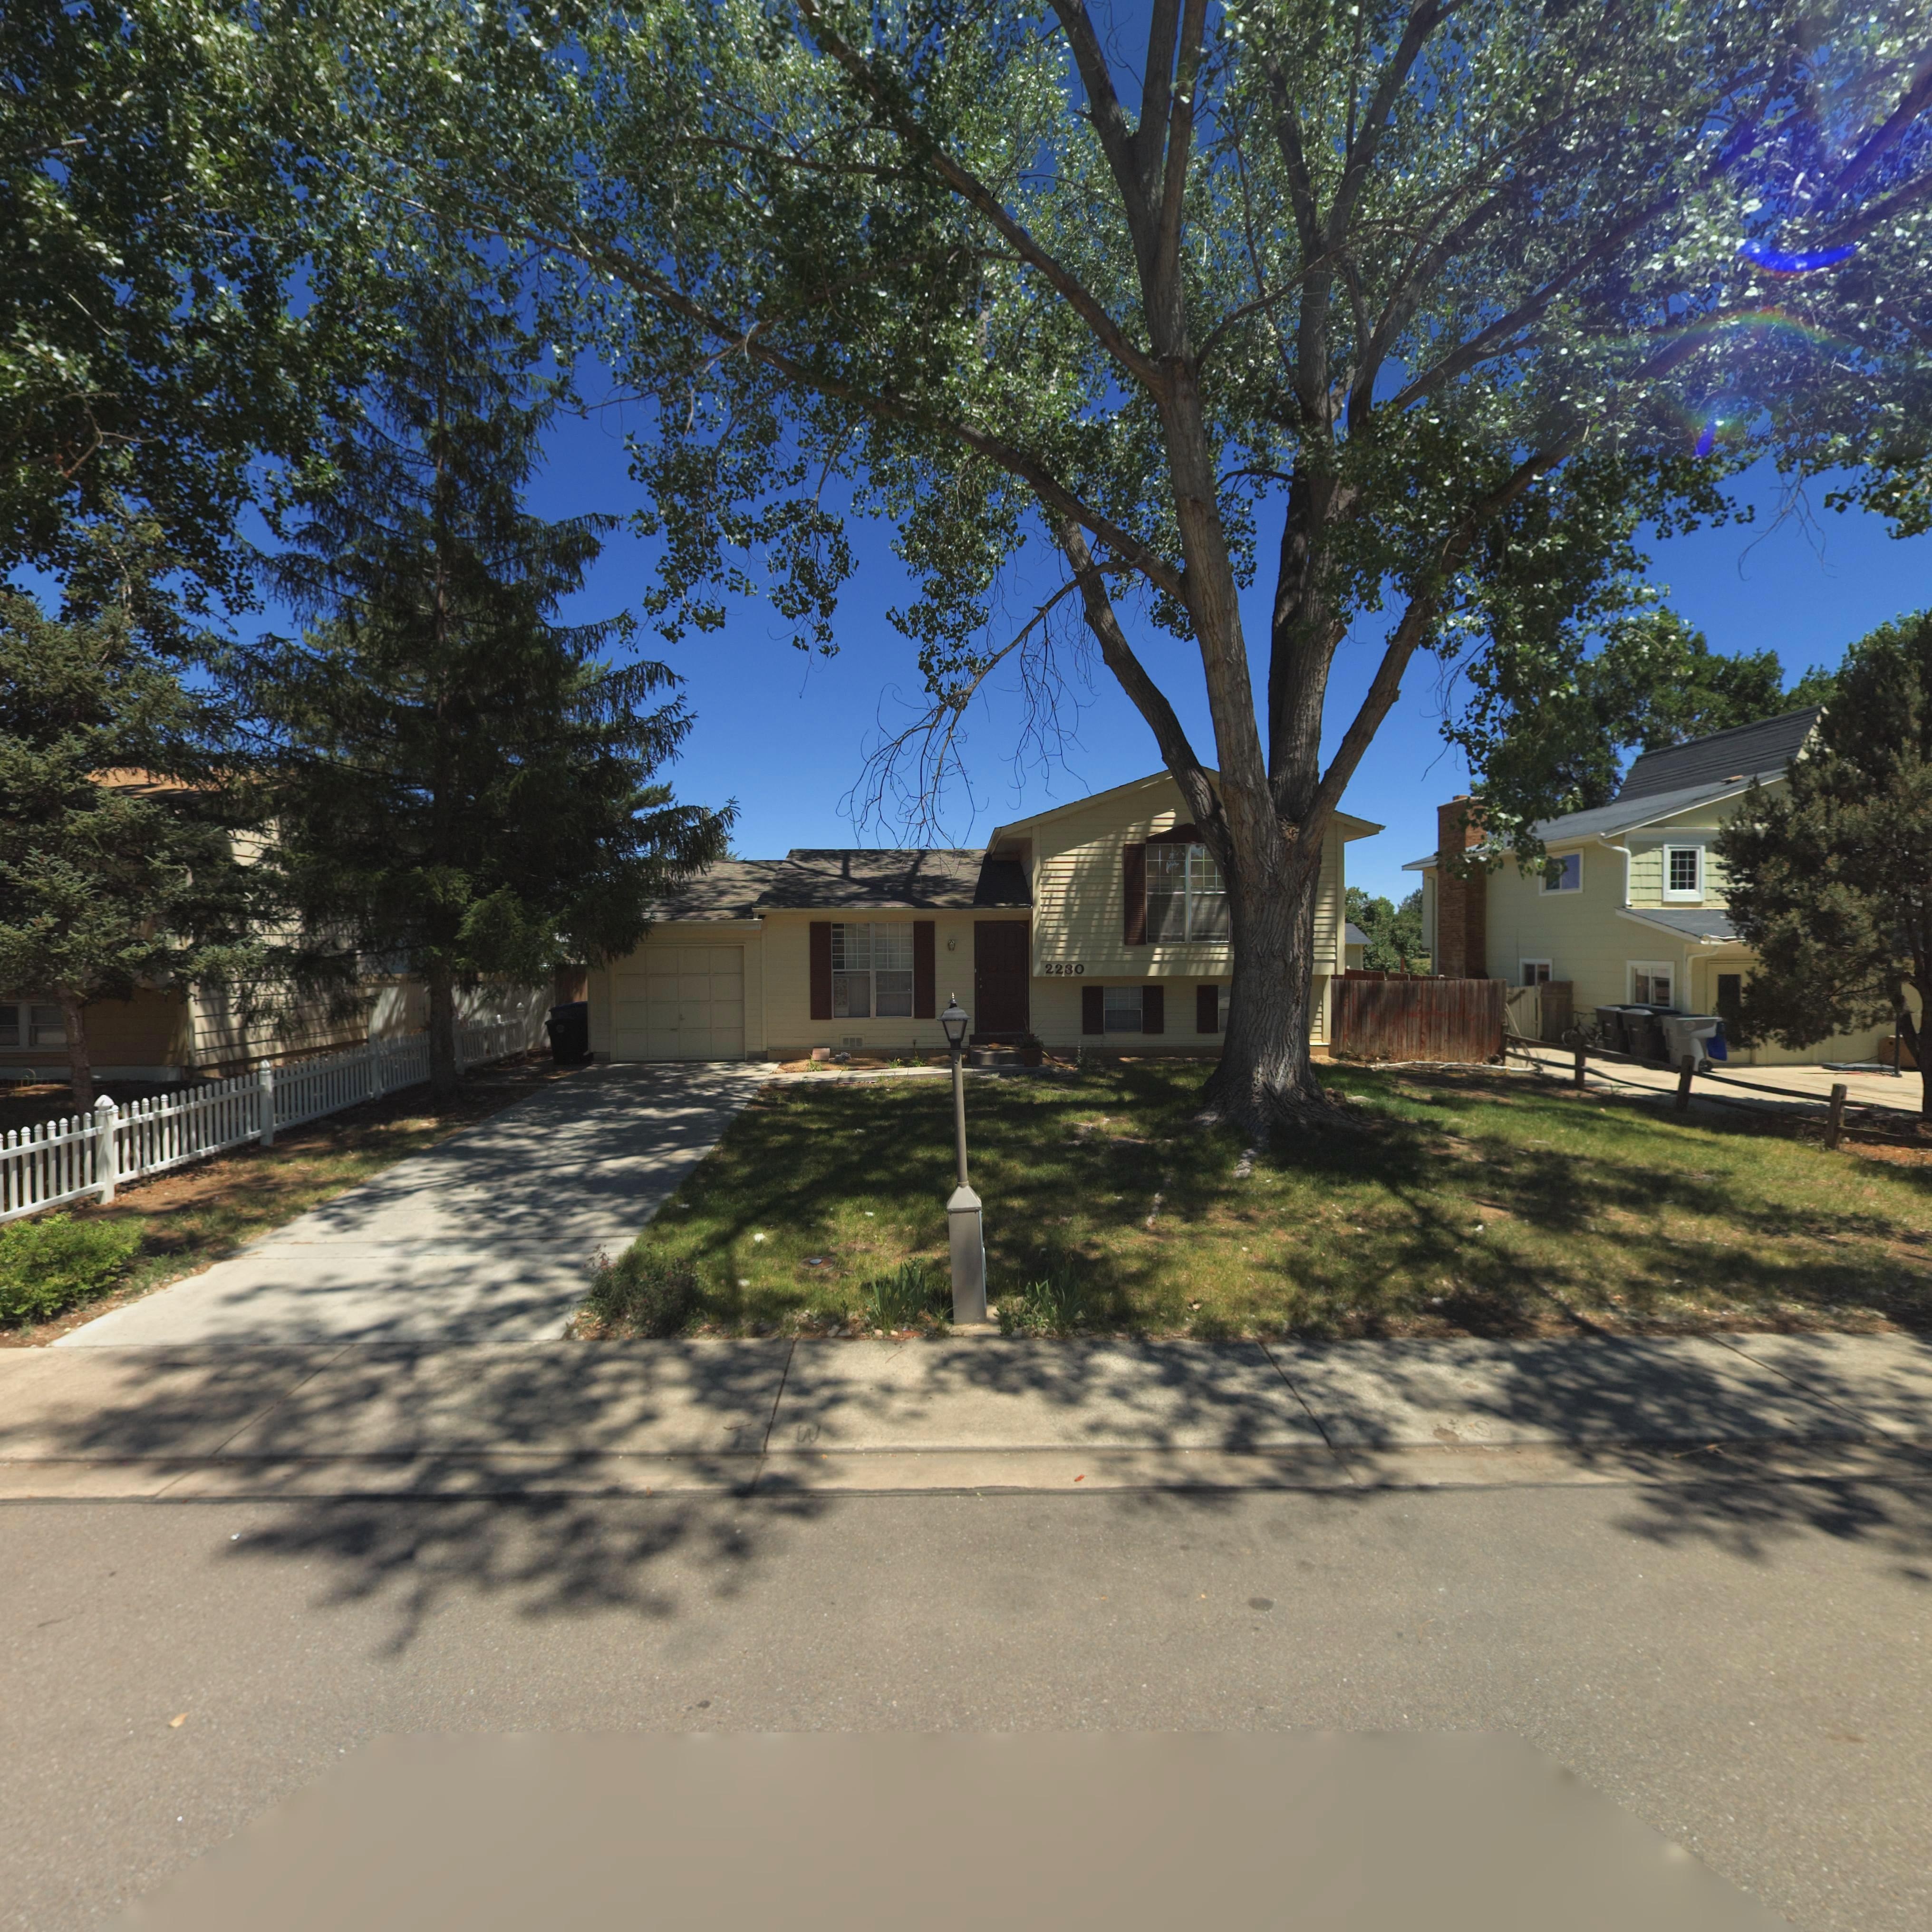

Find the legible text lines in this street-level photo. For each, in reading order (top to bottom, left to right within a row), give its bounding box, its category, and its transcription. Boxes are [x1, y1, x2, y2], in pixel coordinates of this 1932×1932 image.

[1045, 963, 1084, 974] StreetNumber: 2230